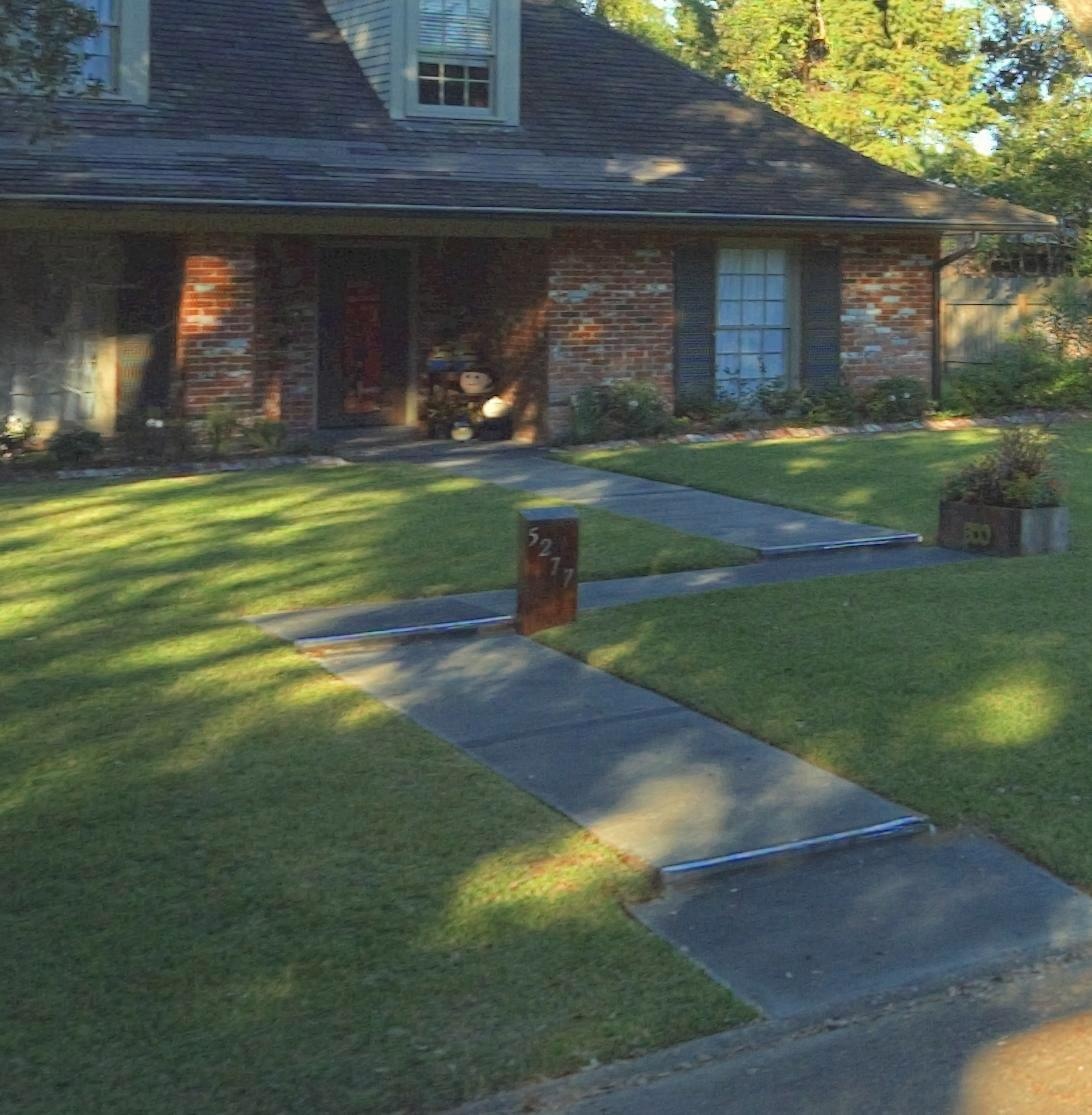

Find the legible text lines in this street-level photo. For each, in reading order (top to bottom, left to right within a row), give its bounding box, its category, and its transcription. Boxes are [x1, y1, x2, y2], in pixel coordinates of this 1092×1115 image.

[525, 524, 578, 594] StreetNumber: 5277